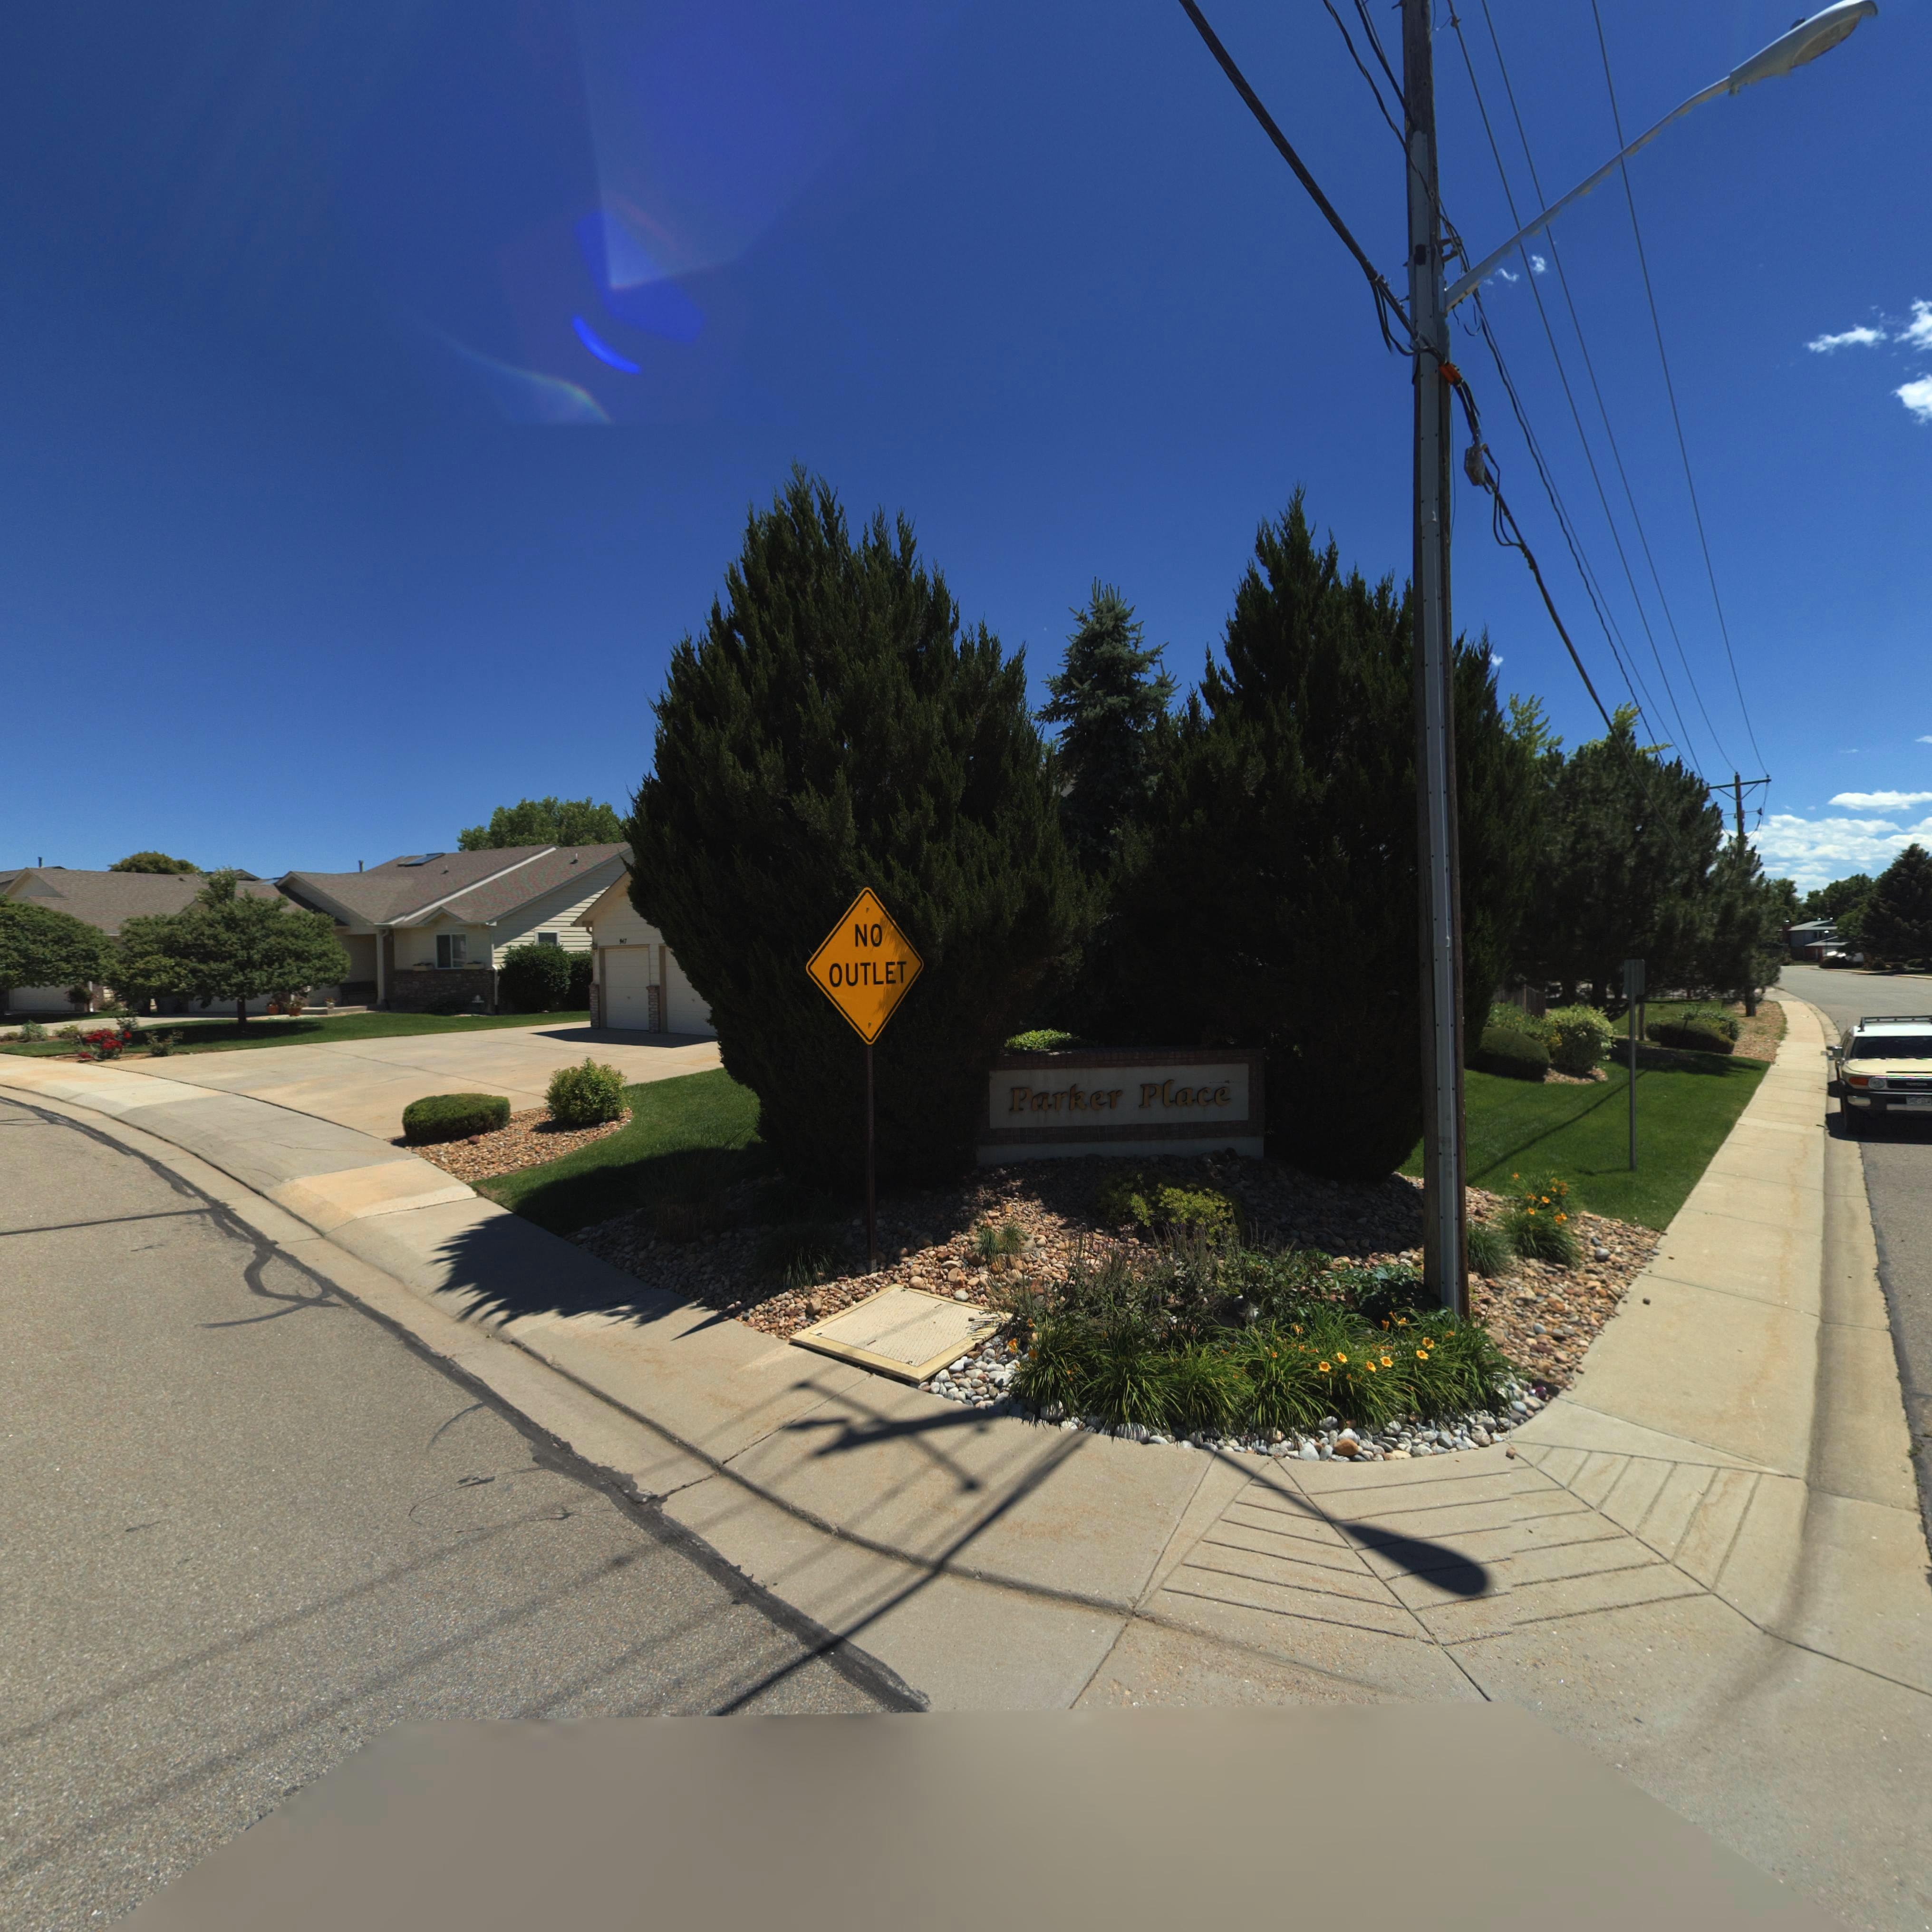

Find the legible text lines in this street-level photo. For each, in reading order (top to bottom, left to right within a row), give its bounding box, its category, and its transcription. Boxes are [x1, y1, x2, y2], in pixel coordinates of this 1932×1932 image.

[619, 938, 627, 944] StreetNumber: 947